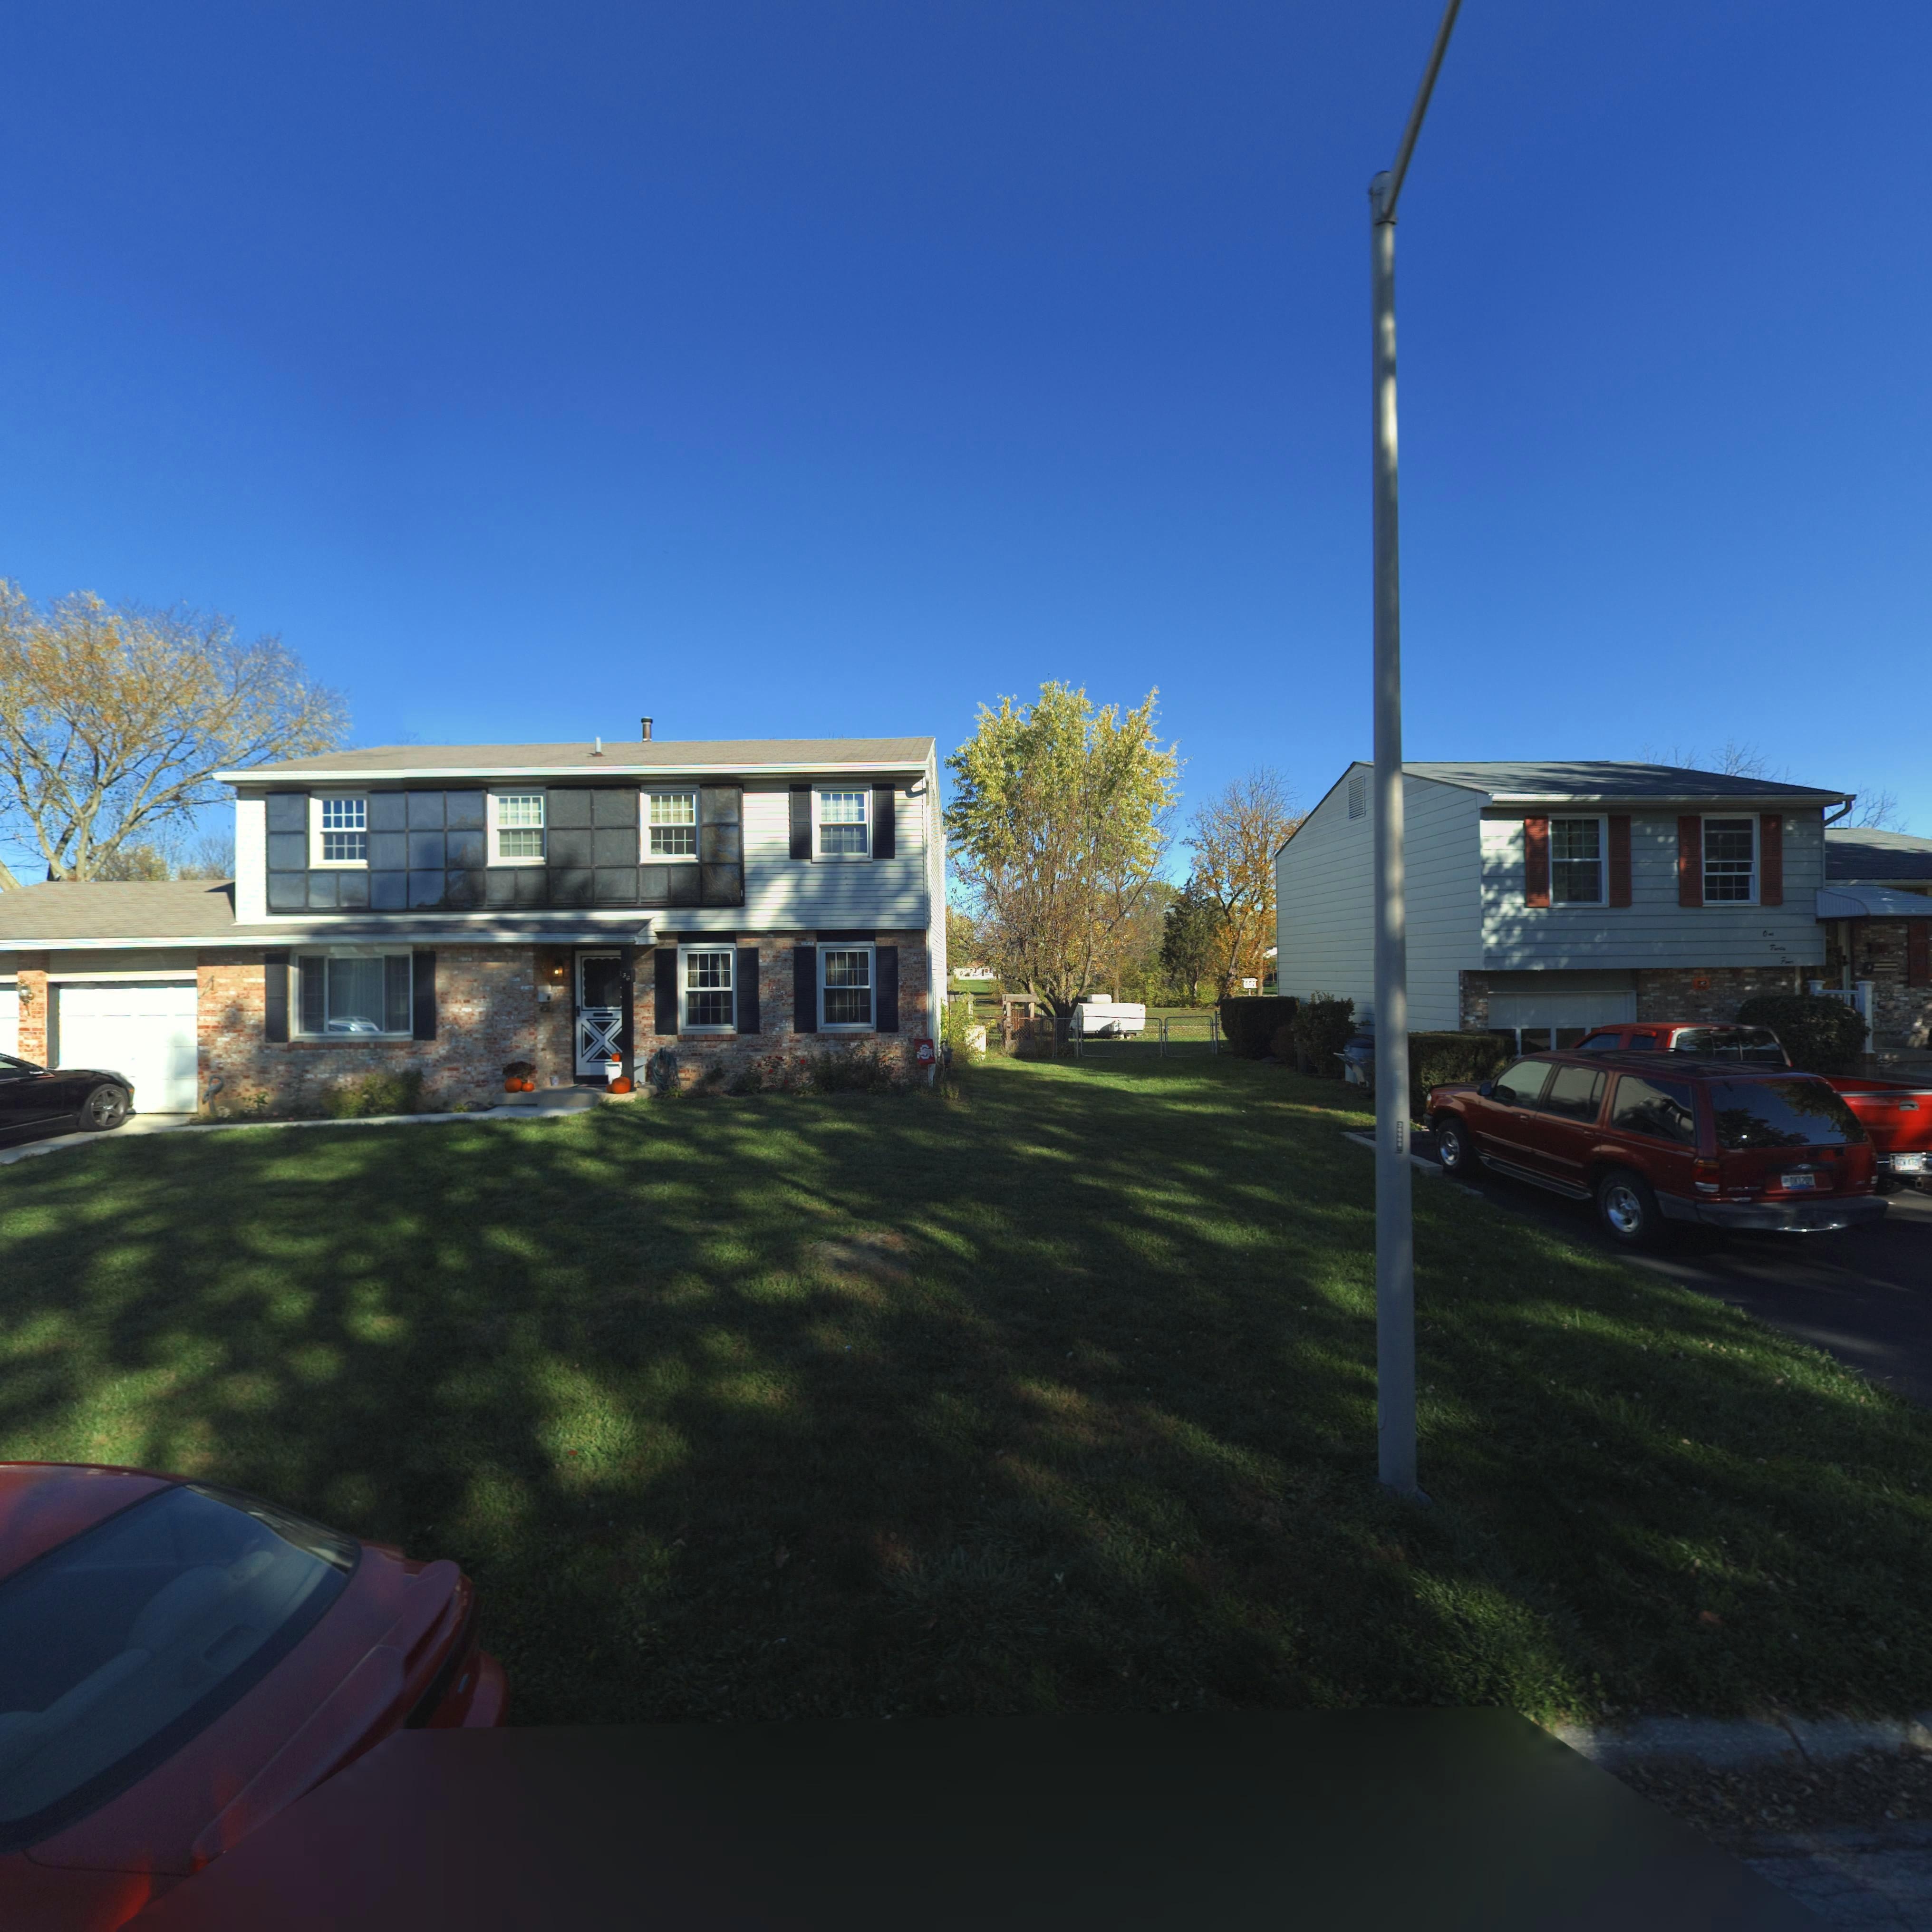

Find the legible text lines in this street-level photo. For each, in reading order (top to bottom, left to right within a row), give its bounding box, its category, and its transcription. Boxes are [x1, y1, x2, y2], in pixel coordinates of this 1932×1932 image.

[1761, 929, 1775, 937] StreetNumber: One
[1769, 944, 1786, 951] StreetNumber: Thirty
[1779, 956, 1795, 965] StreetNumber: Four
[618, 970, 631, 982] StreetNumber: 136